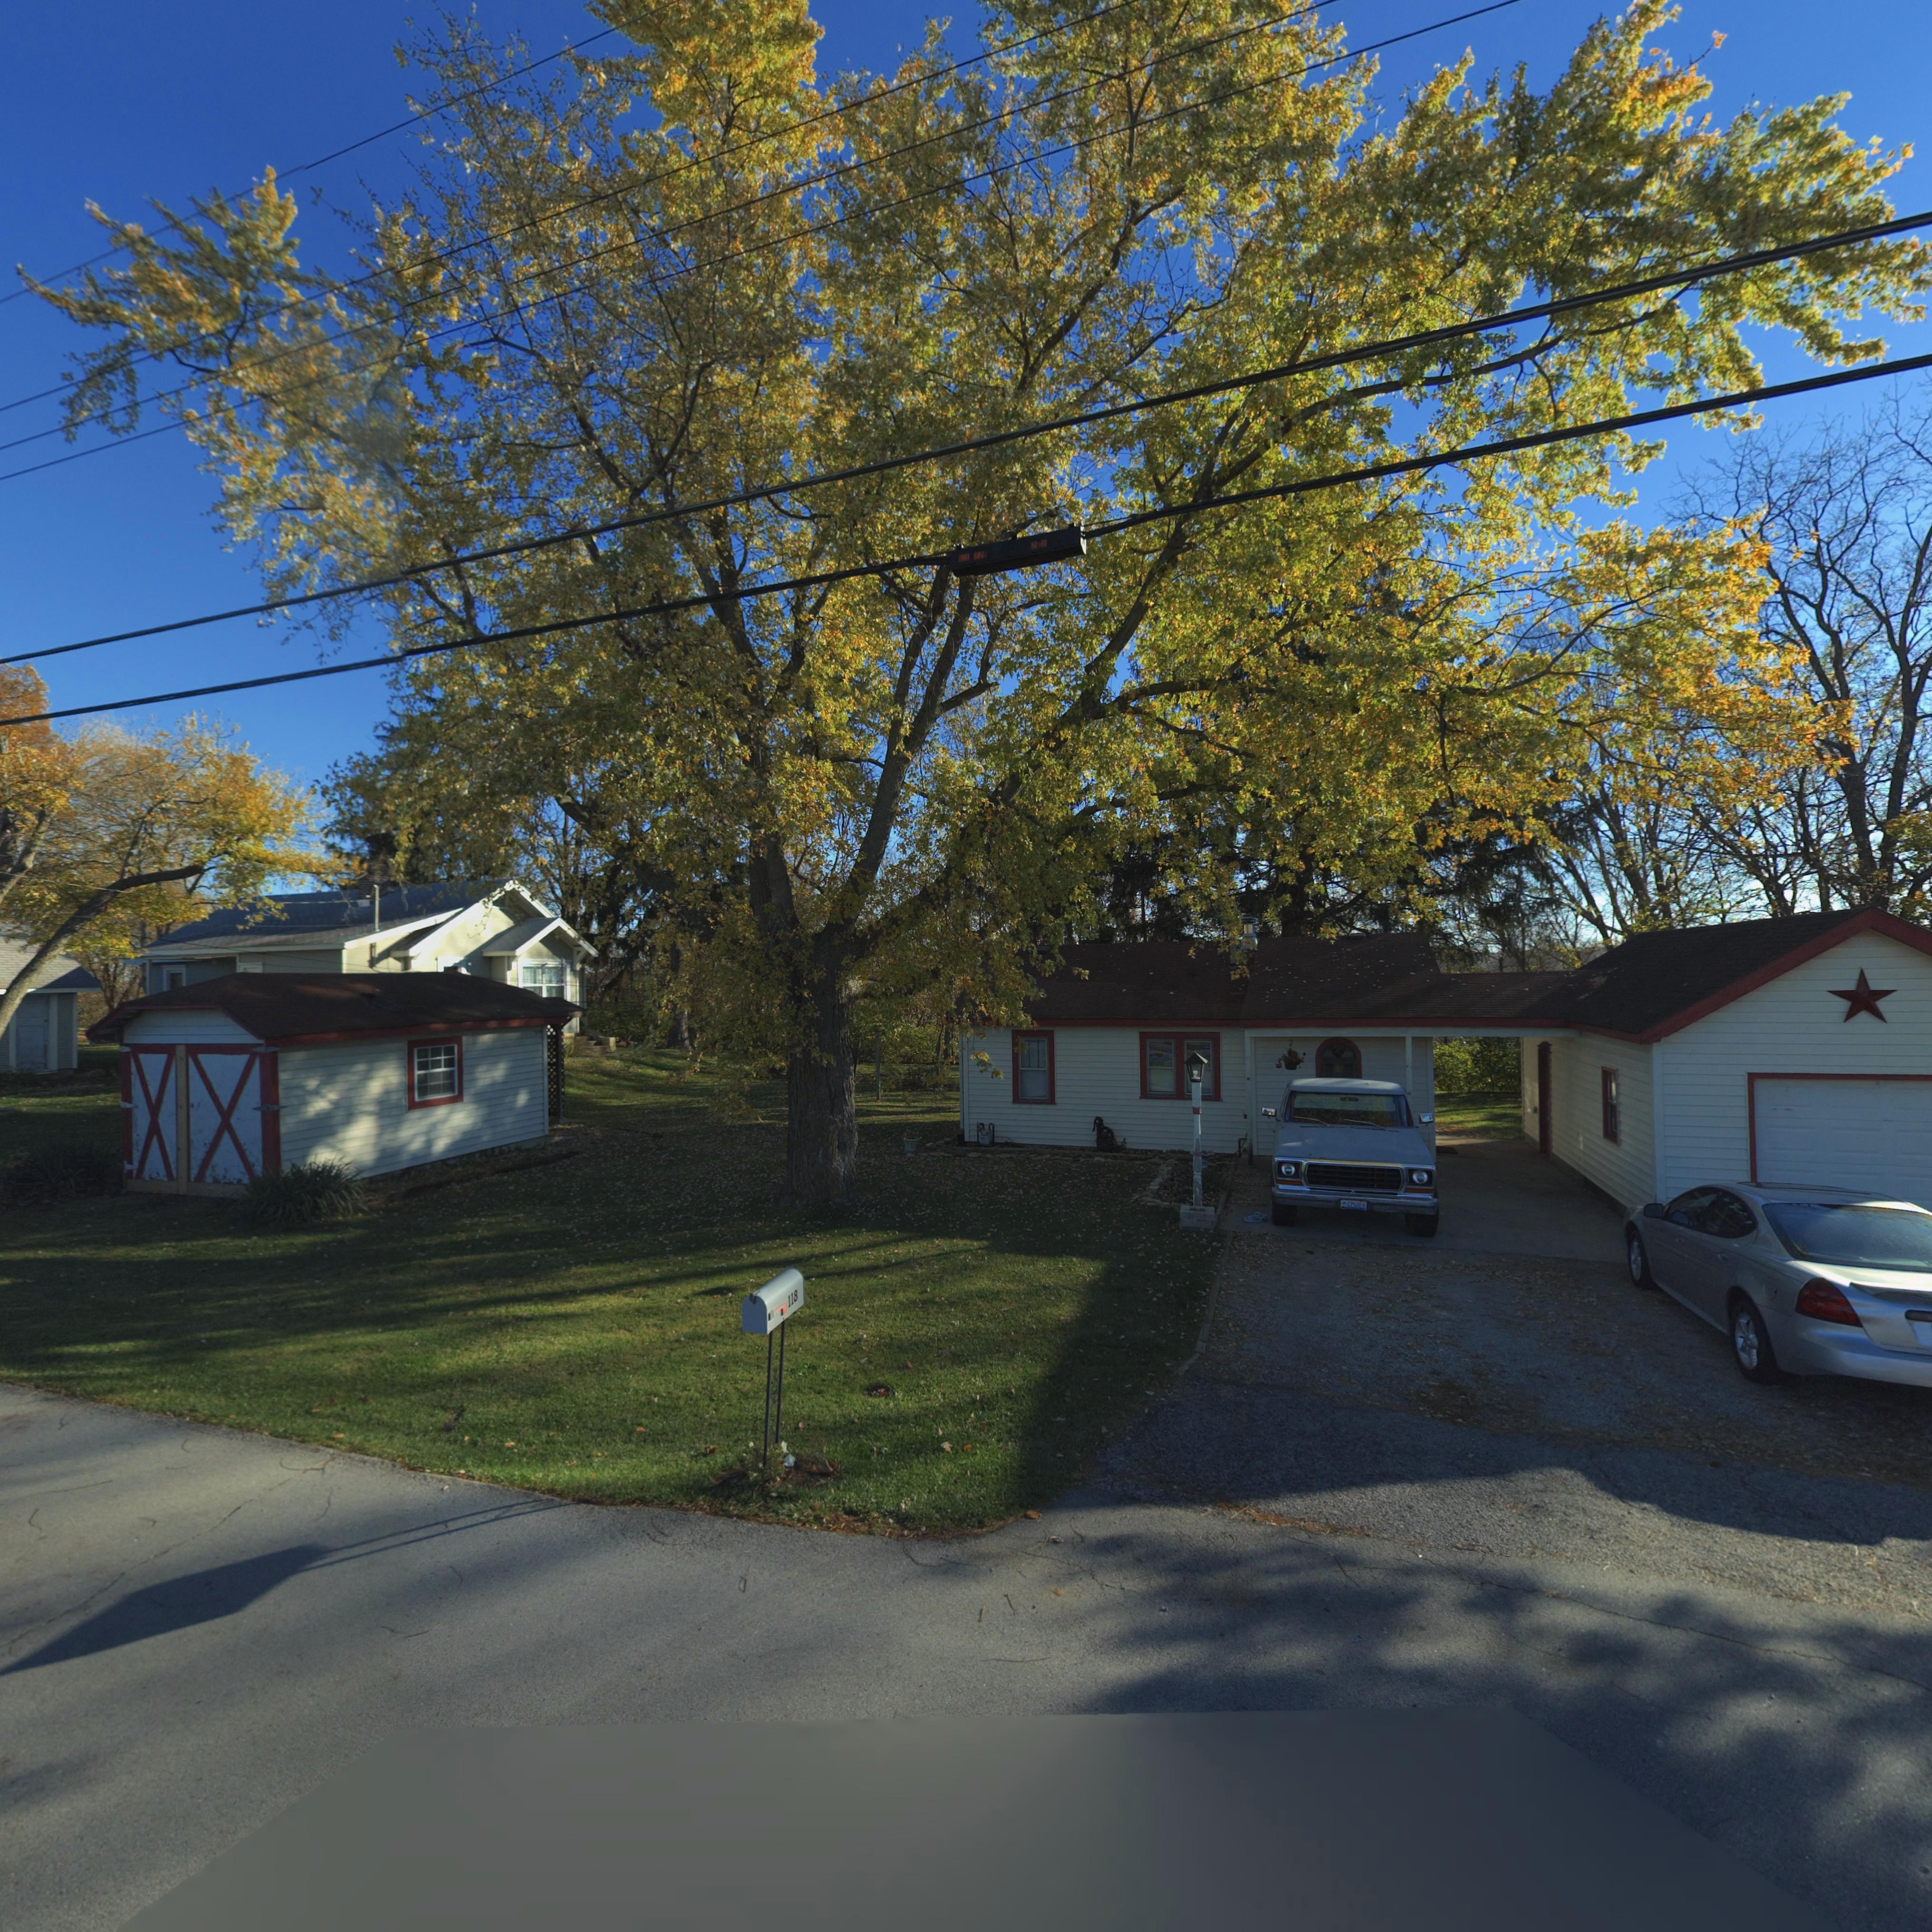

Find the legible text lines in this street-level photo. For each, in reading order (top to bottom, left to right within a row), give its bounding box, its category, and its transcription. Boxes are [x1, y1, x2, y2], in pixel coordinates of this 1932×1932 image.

[1346, 1199, 1366, 1210] None: EP****
[787, 1288, 799, 1309] StreetNumber: 118